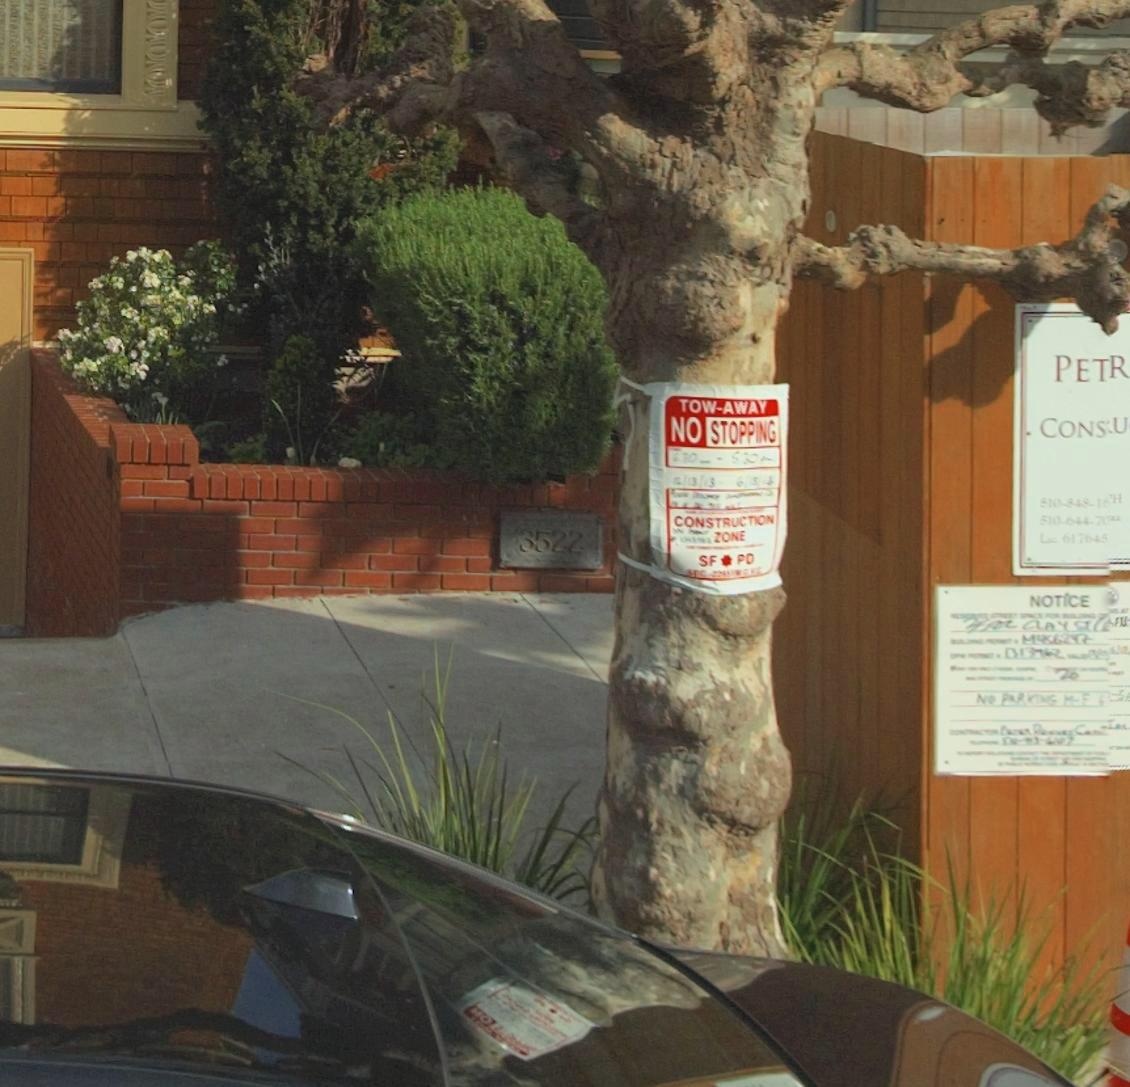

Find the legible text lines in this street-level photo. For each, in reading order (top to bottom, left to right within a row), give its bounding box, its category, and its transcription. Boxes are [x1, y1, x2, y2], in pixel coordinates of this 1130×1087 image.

[1050, 351, 1129, 385] None: PETR
[675, 395, 771, 417] None: TOW-AWAY
[668, 413, 780, 448] None: NO STOPPING
[1036, 413, 1129, 441] None: CONS*U
[1037, 494, 1092, 512] None: 510-*48
[671, 511, 777, 531] None: CONSTRUCTION
[1035, 510, 1093, 530] None: 510-644
[517, 527, 586, 555] StreetNumber: 3522
[711, 528, 748, 545] None: ZONE
[1059, 530, 1103, 546] None: 61764
[695, 550, 758, 570] None: SF * PD
[1026, 592, 1092, 610] None: NOTICE
[464, 1001, 498, 1029] None: *O